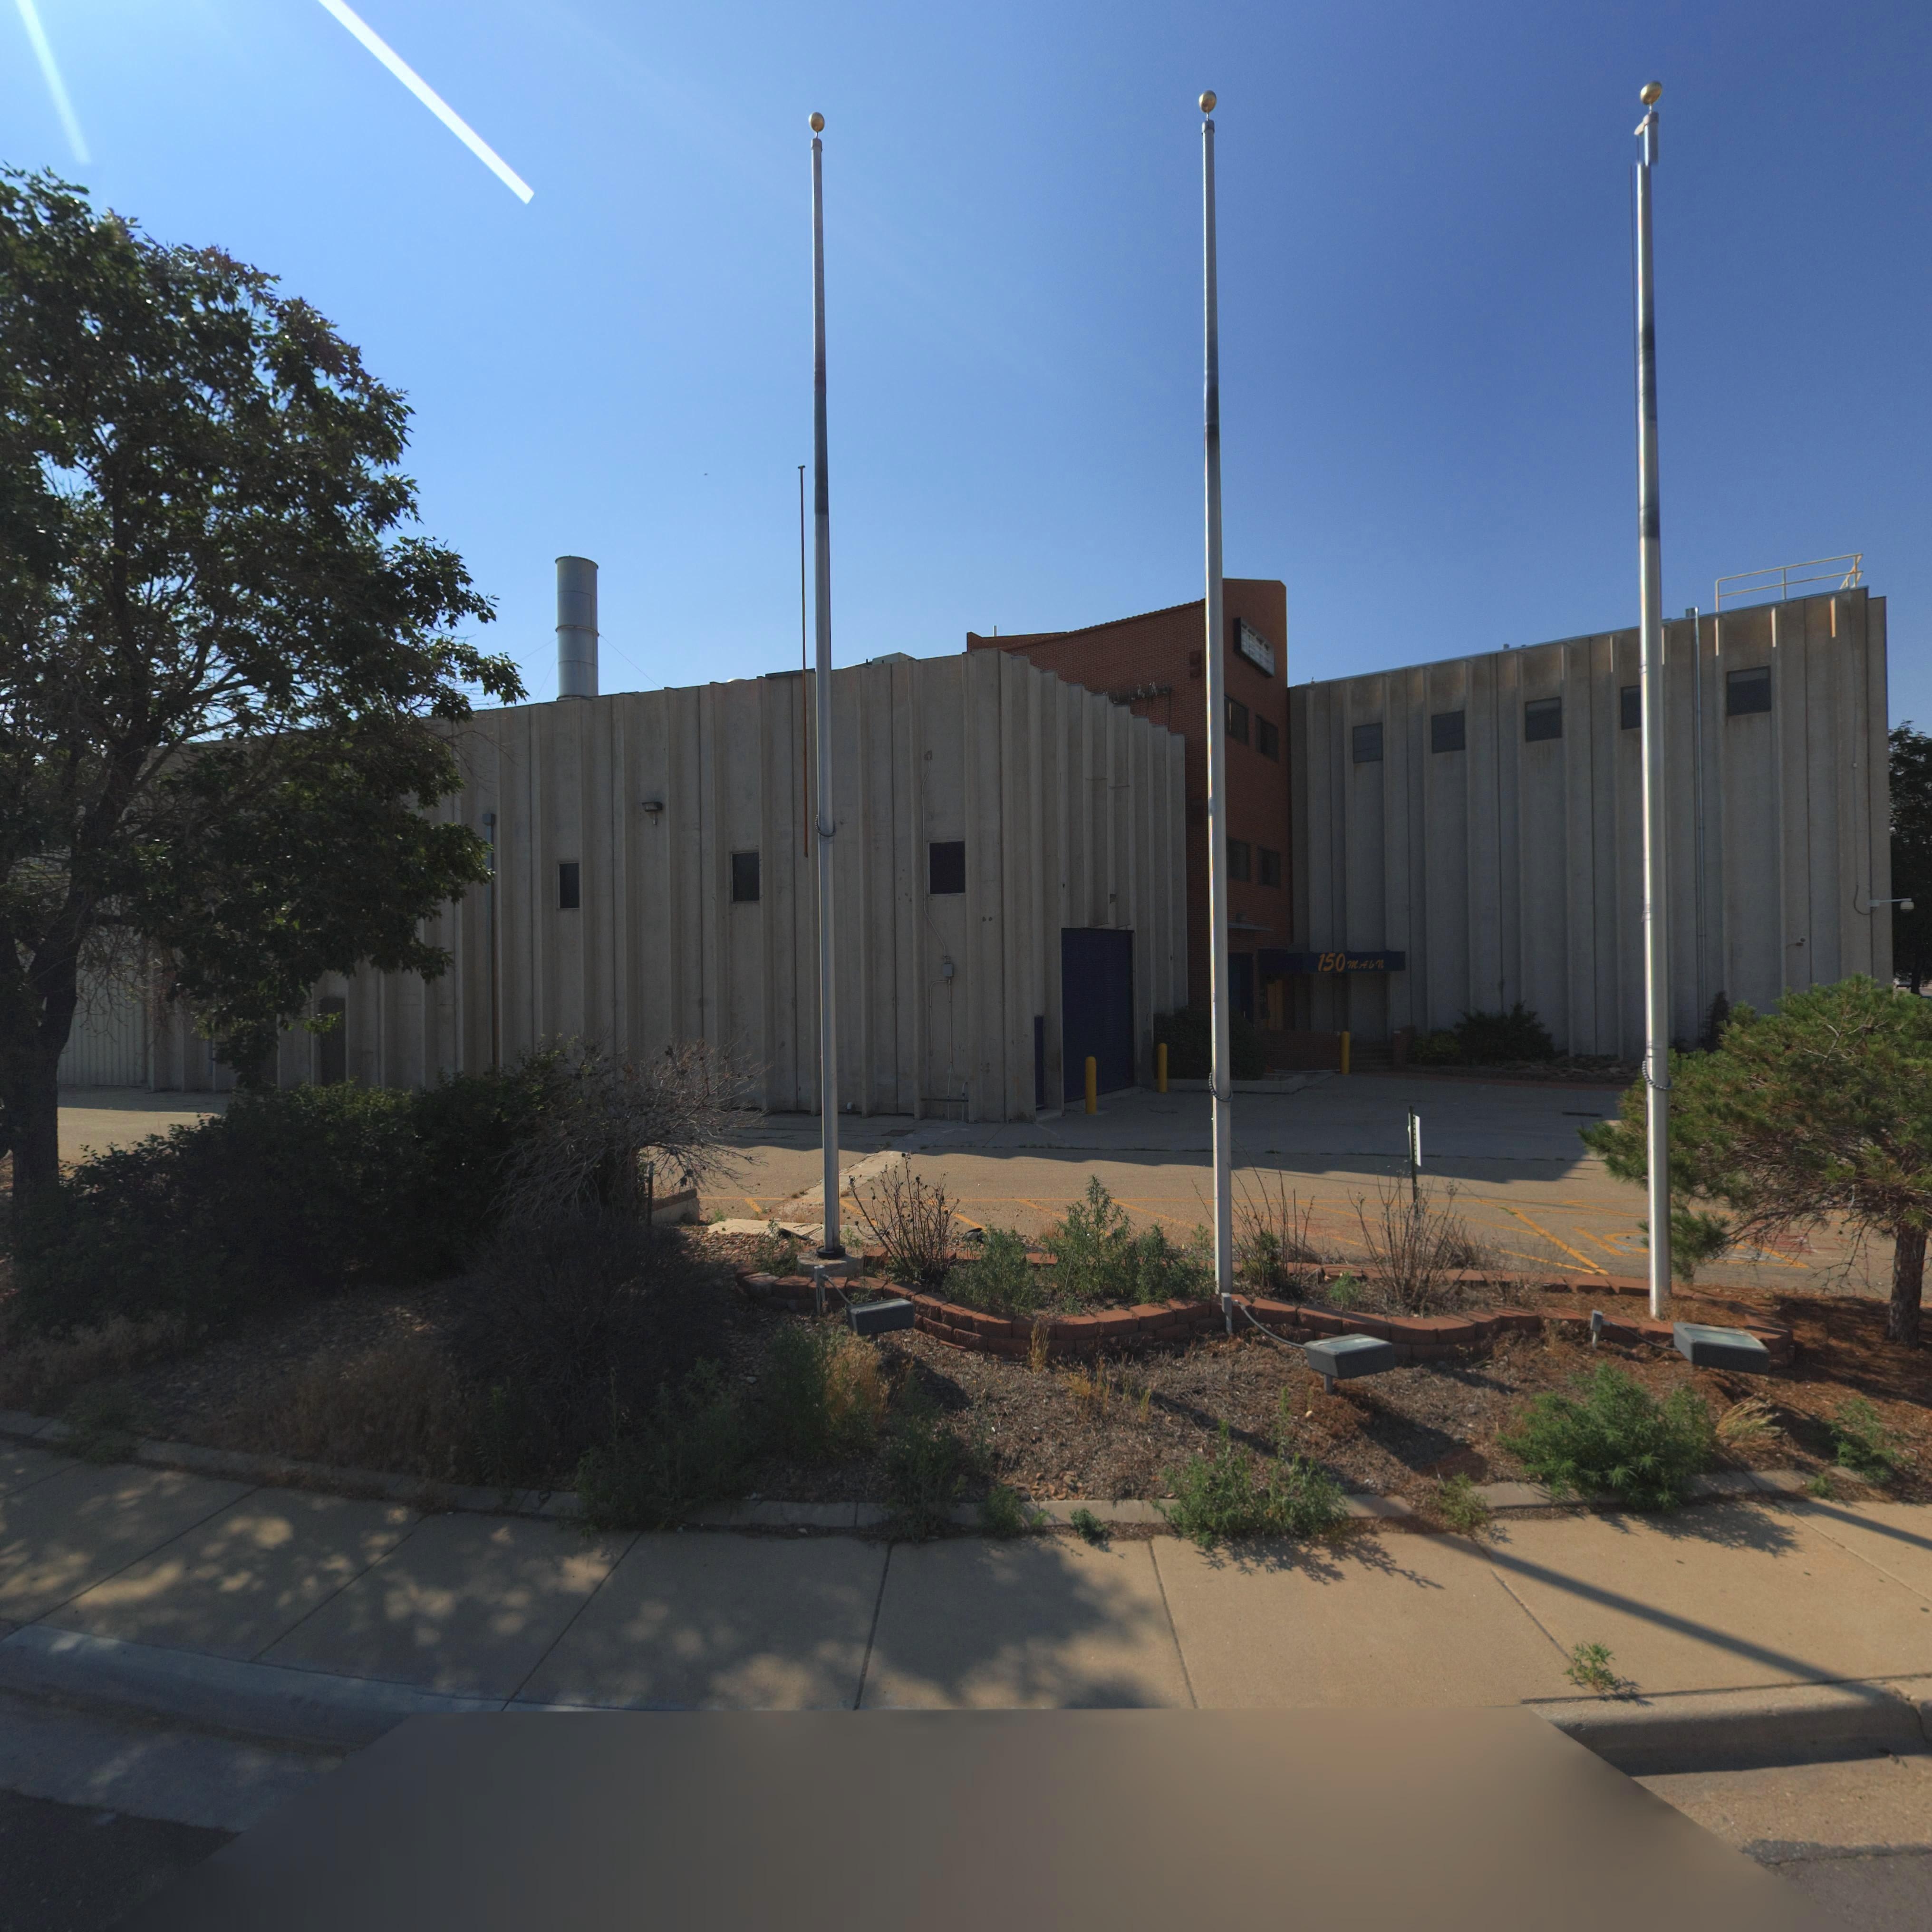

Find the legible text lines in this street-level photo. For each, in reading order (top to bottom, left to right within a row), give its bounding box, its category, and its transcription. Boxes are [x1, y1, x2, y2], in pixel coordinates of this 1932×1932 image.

[1317, 953, 1345, 972] StreetNumber: 150
[1346, 958, 1384, 969] StreetName: MAIN